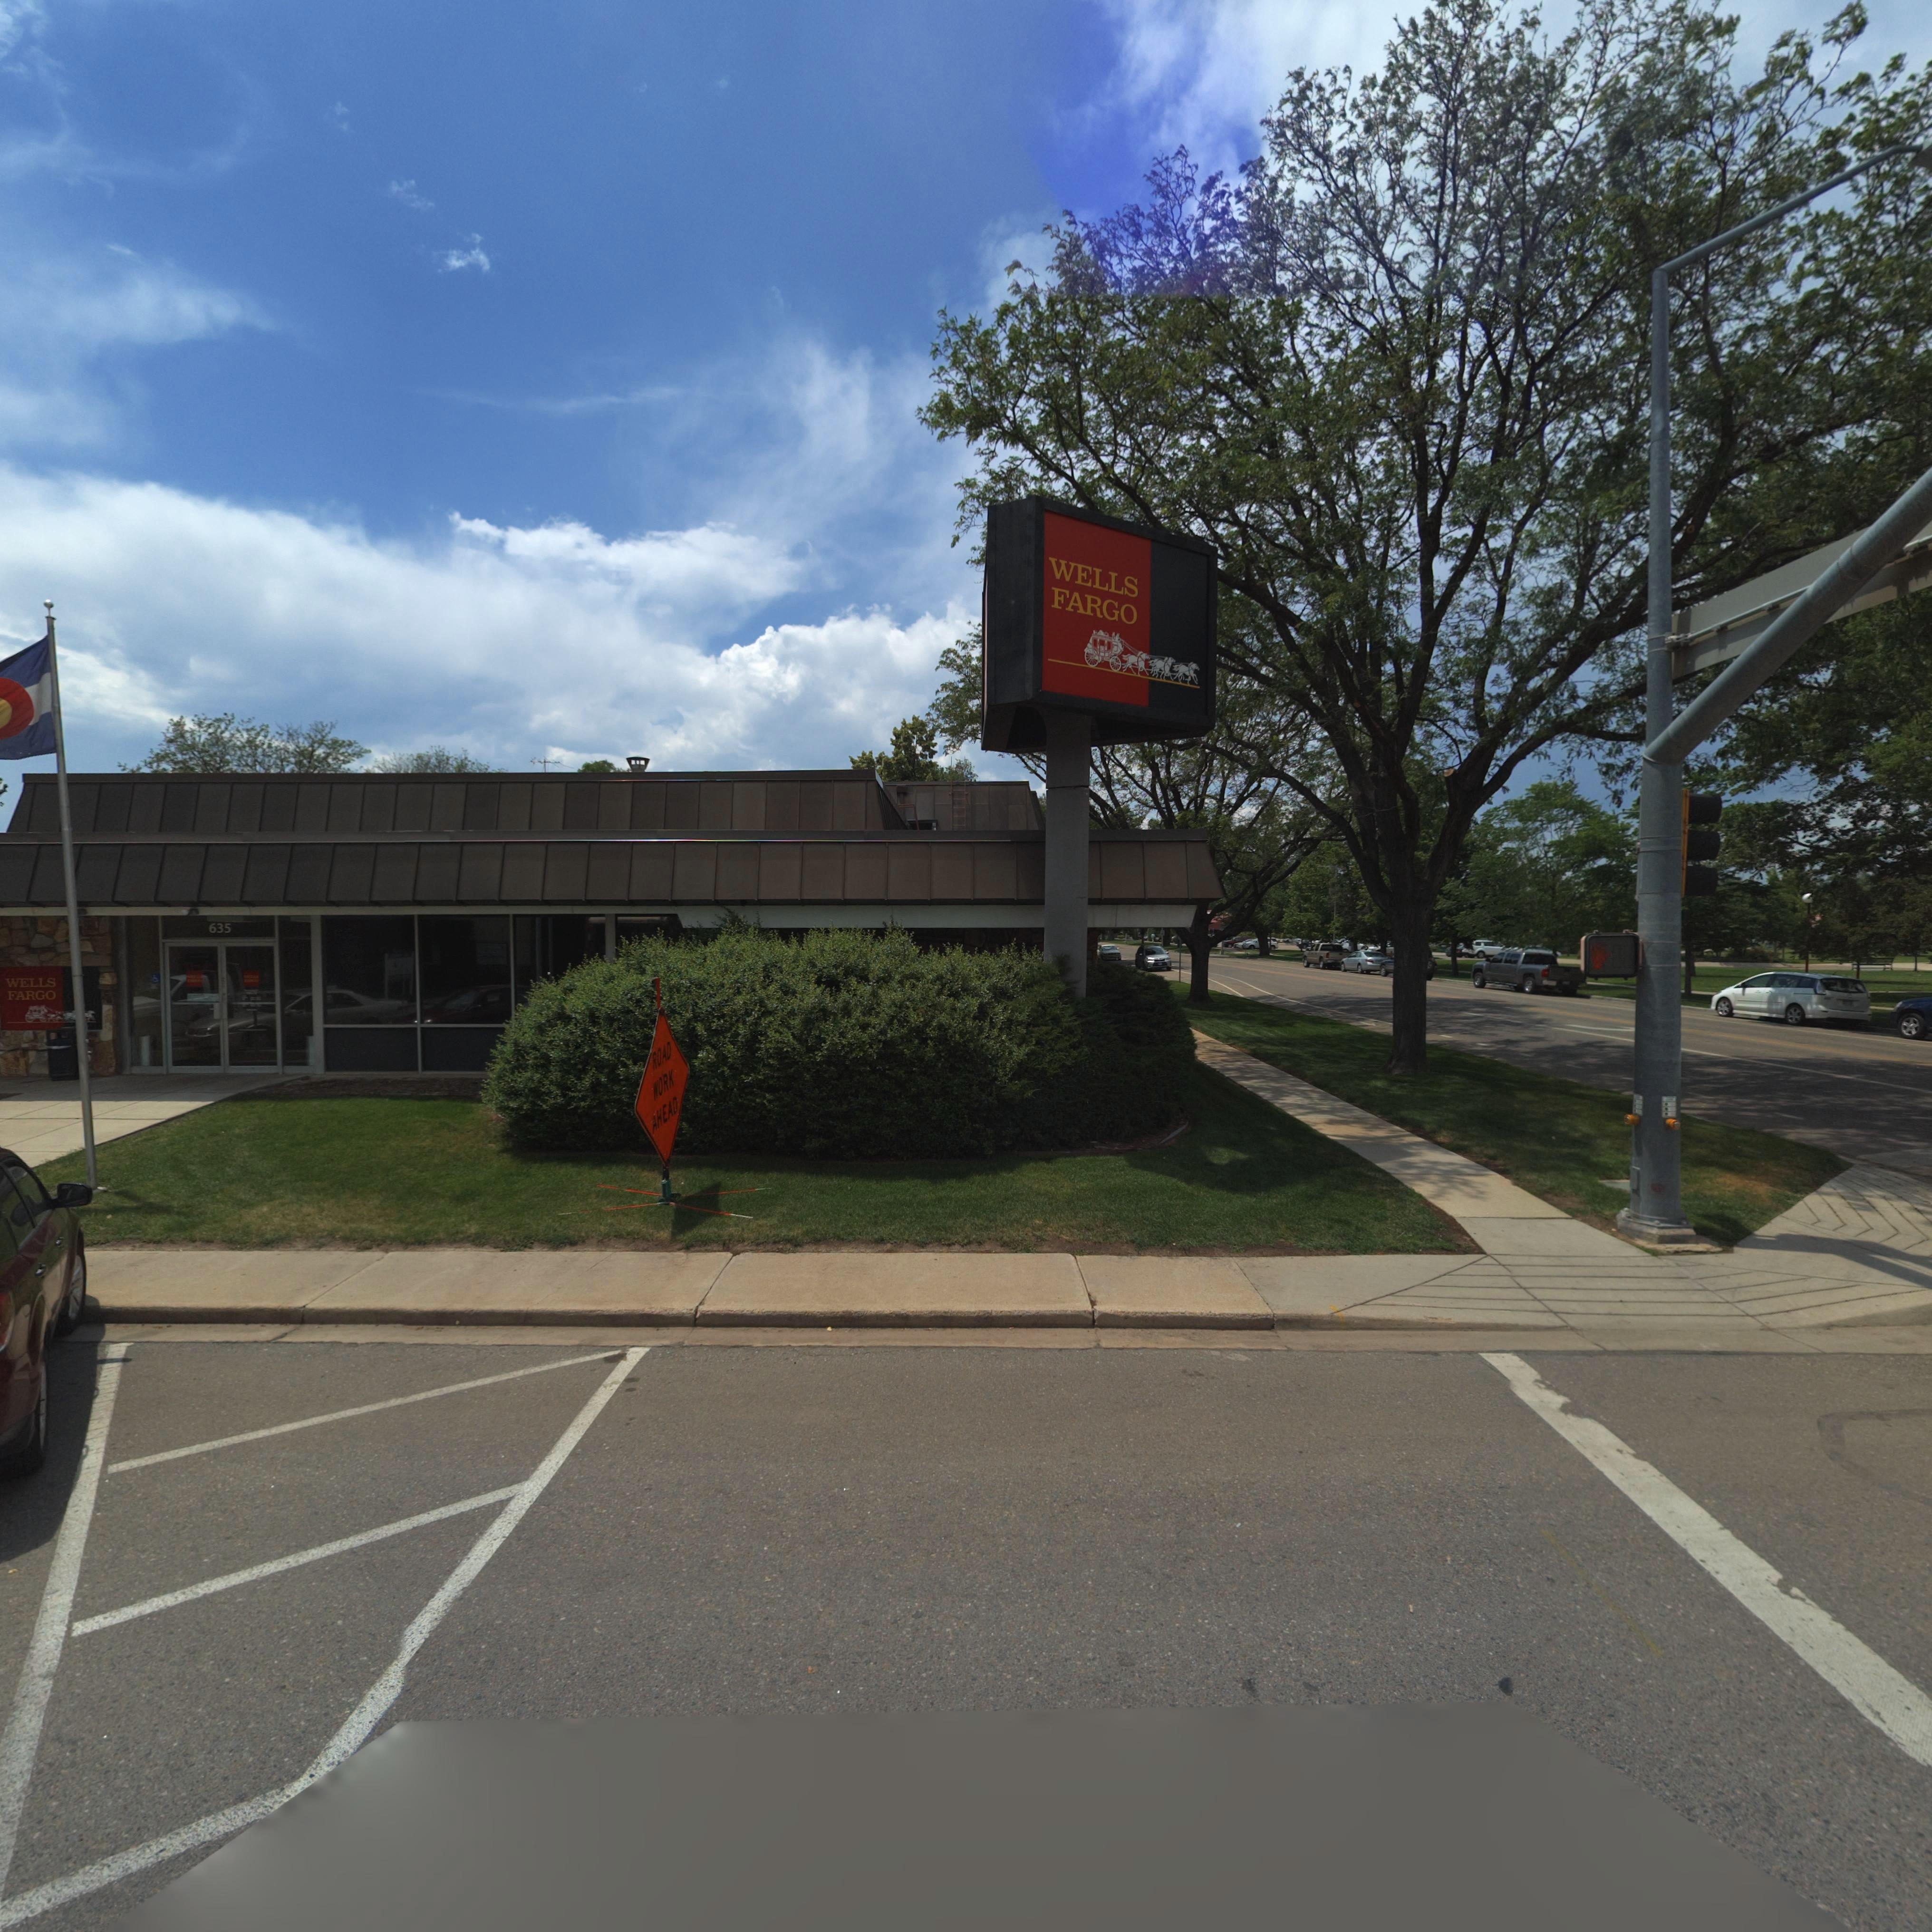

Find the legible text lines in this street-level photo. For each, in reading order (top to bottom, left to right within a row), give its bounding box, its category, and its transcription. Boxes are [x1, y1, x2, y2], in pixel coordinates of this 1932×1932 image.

[1048, 555, 1140, 599] BusinessName: WELLS
[1050, 585, 1140, 627] BusinessName: FARGO
[208, 922, 231, 934] StreetNumber: 635
[4, 977, 56, 988] BusinessName: WELLS
[187, 975, 201, 979] BusinessName: *ELLS
[187, 979, 202, 982] BusinessName: FA***
[243, 975, 259, 978] BusinessName: ***LS
[244, 979, 259, 983] BusinessName: F****
[7, 990, 56, 1000] BusinessName: FARGO
[652, 1068, 675, 1101] None: z